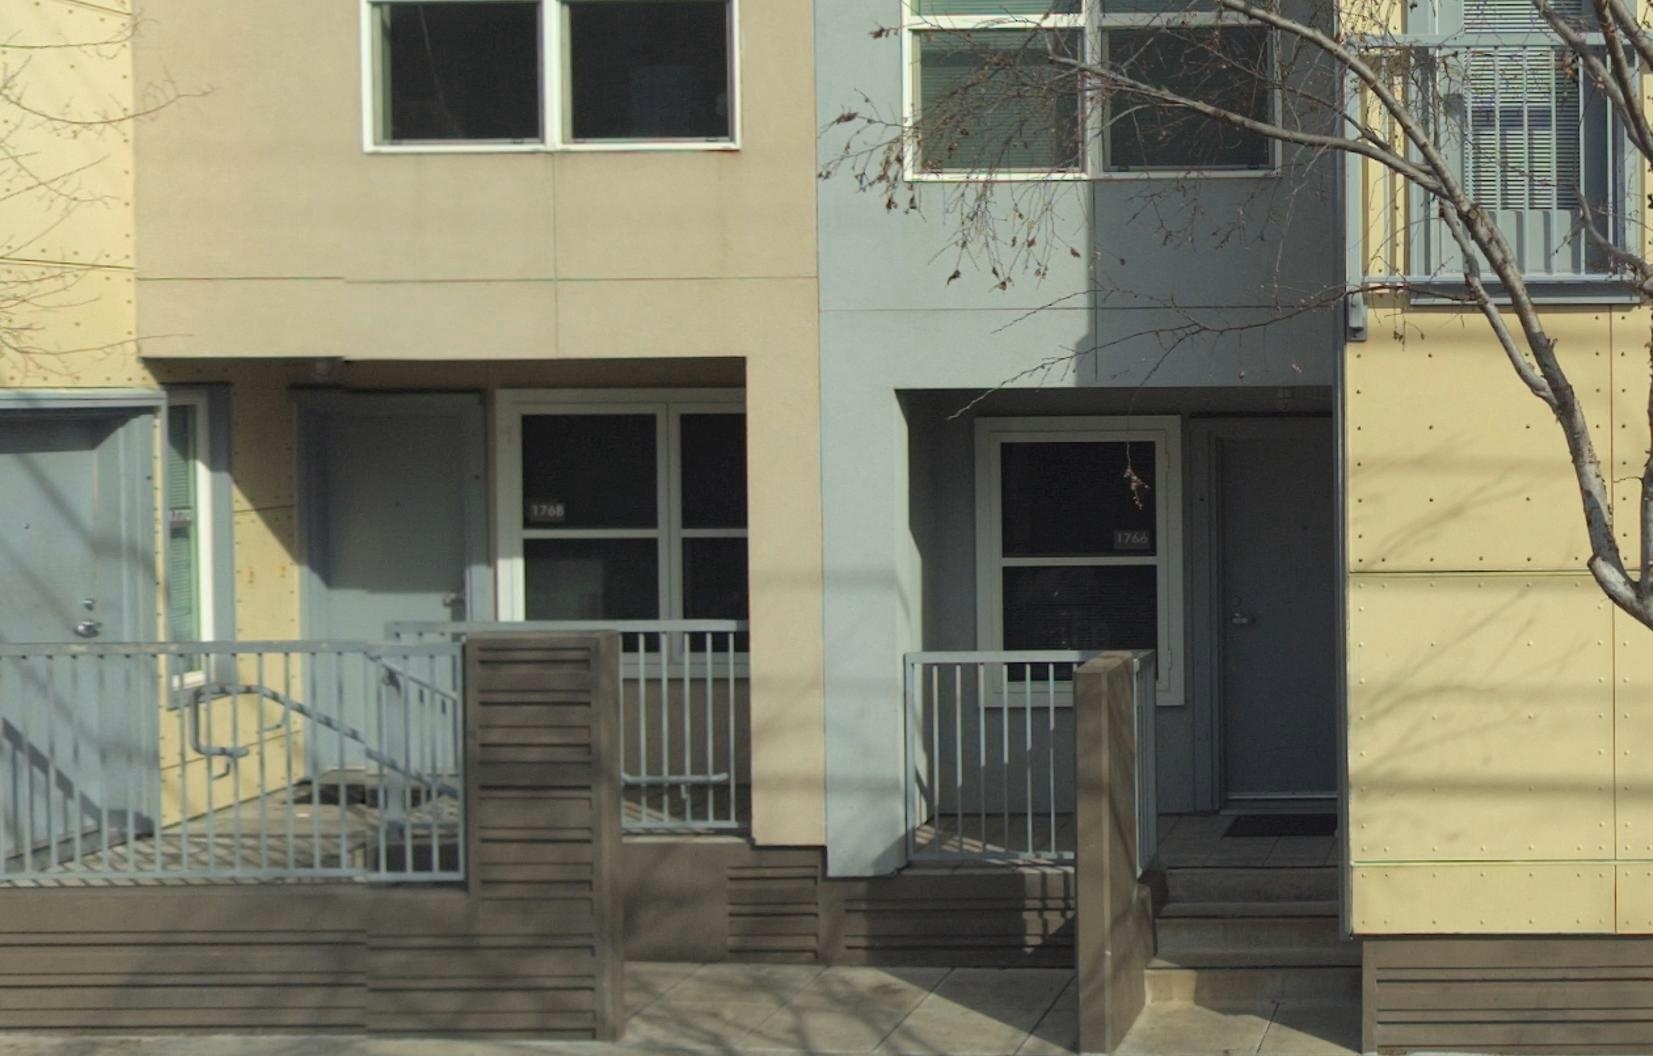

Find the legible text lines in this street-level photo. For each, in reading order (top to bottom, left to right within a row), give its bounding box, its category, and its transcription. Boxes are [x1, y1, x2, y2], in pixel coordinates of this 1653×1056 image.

[530, 502, 567, 519] StreetNumber: 1768
[1116, 530, 1150, 545] StreetNumber: 1766